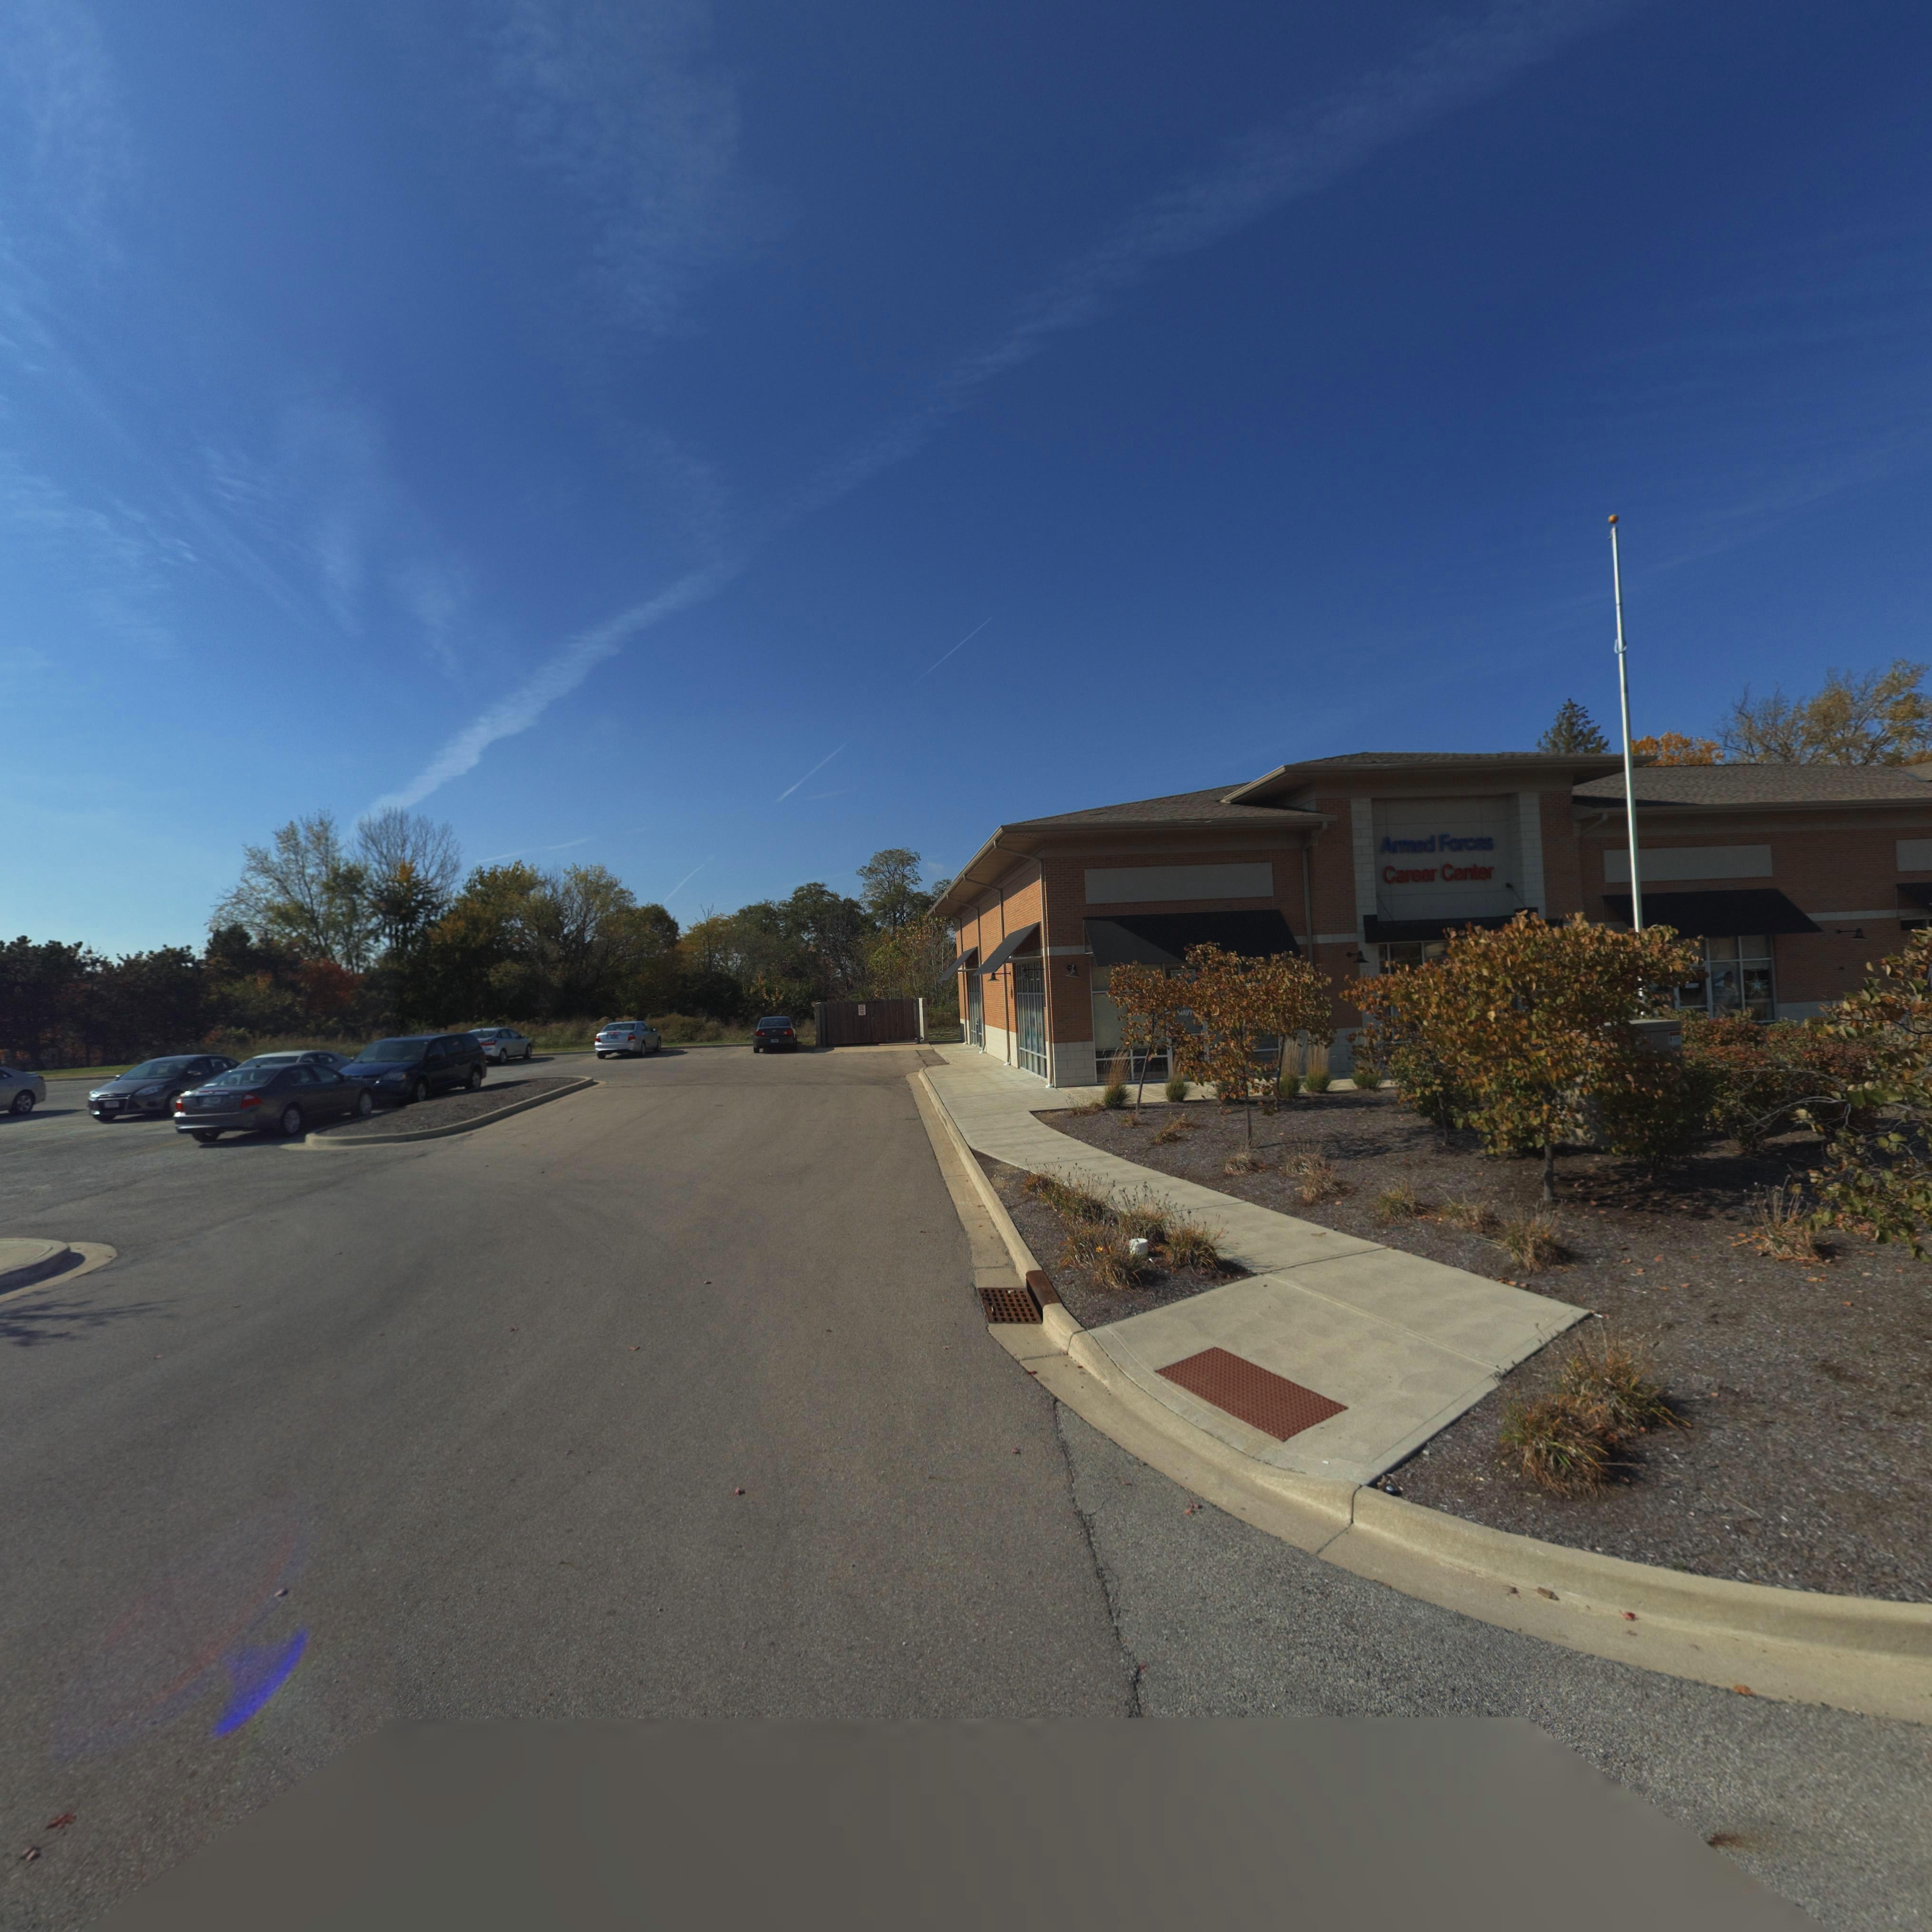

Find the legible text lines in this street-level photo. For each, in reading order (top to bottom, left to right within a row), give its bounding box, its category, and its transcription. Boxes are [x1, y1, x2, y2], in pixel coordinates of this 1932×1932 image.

[1380, 832, 1497, 855] BusinessName: Armed Forc*s
[1382, 862, 1496, 886] BusinessName: Career Center